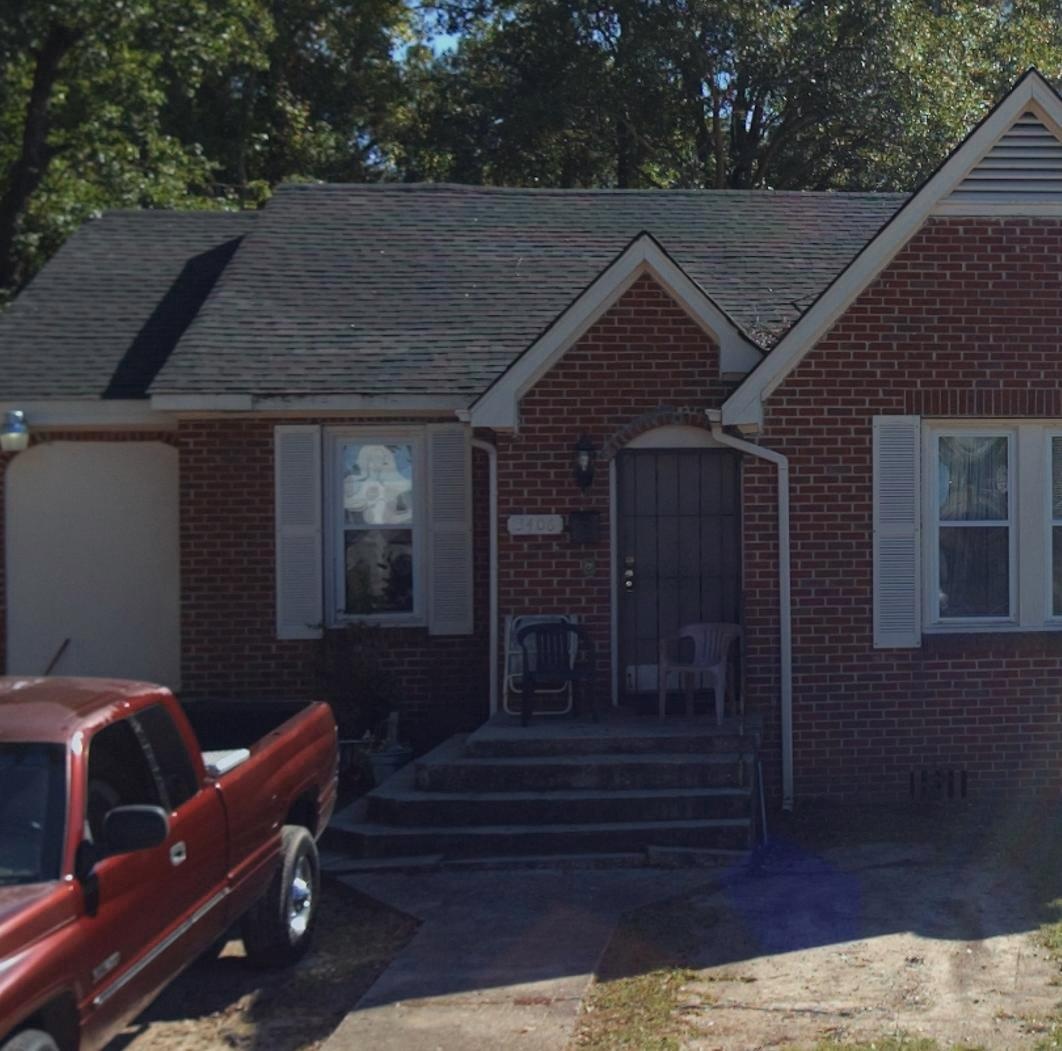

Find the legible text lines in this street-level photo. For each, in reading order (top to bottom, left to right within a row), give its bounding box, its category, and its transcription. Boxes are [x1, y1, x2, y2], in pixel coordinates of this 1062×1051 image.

[514, 515, 555, 533] StreetNumber: 3406